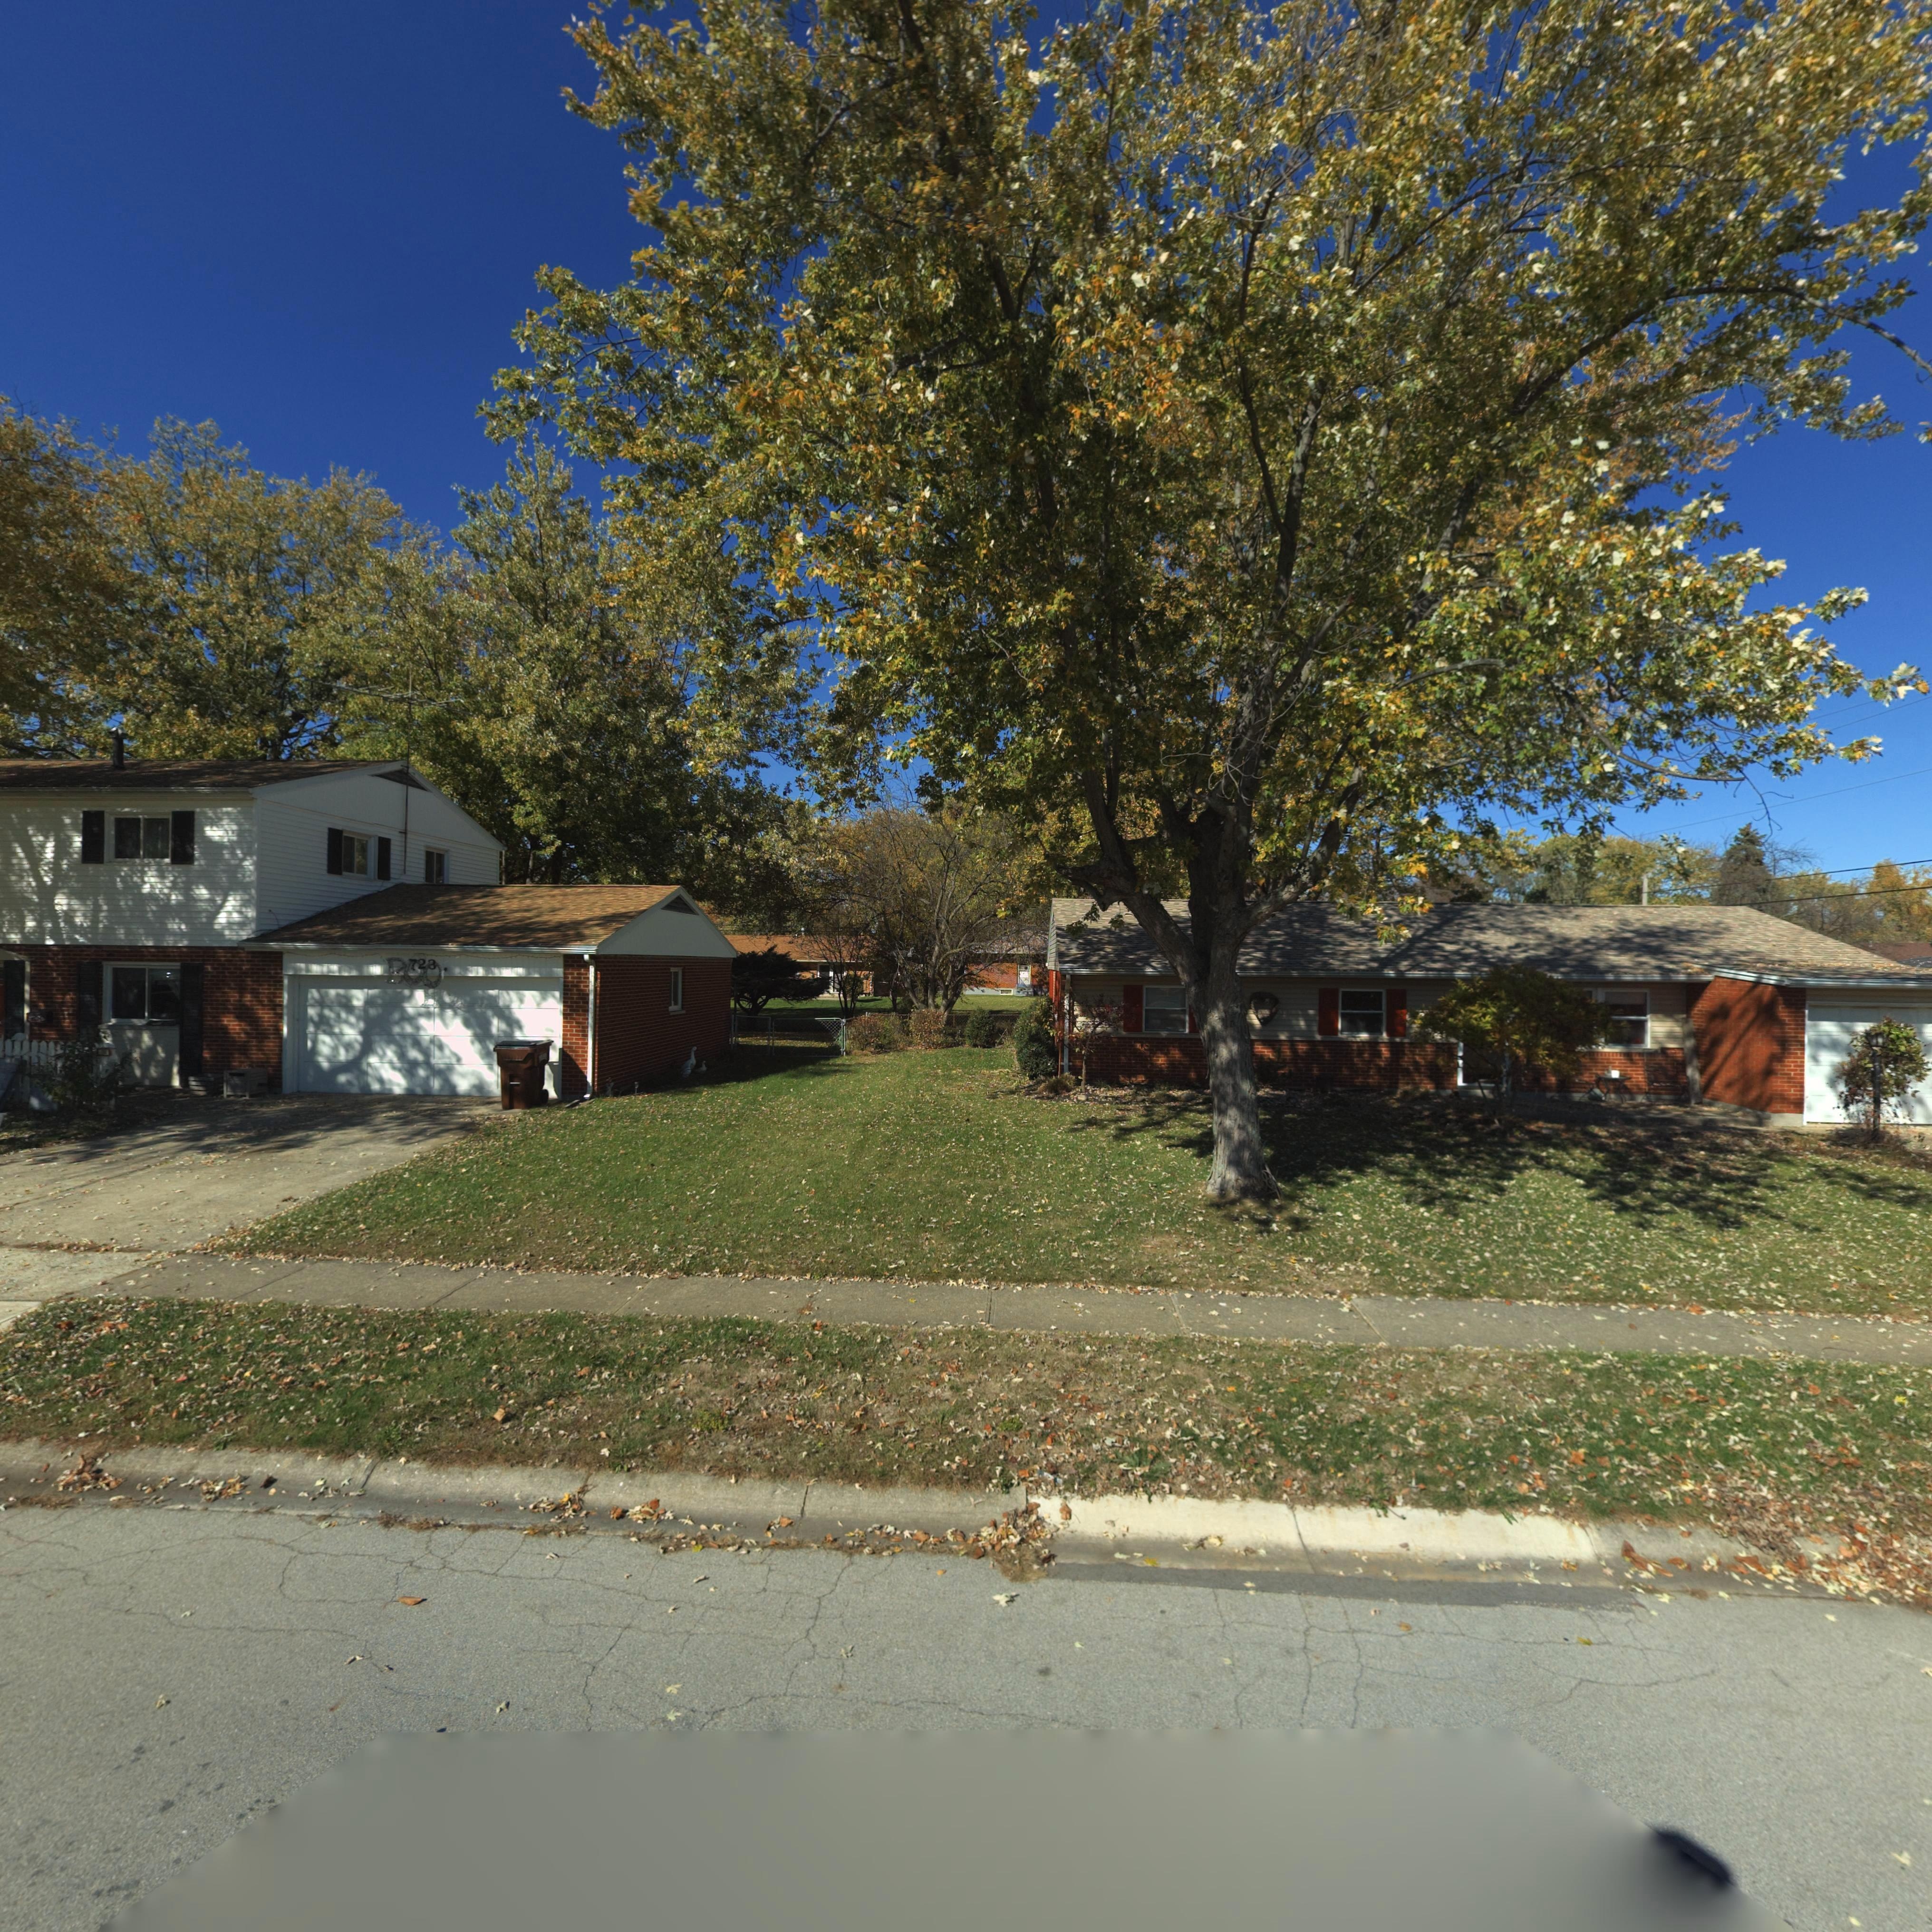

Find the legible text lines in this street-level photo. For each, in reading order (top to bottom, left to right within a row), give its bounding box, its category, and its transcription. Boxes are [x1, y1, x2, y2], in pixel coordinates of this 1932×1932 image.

[407, 957, 438, 971] StreetNumber: 723